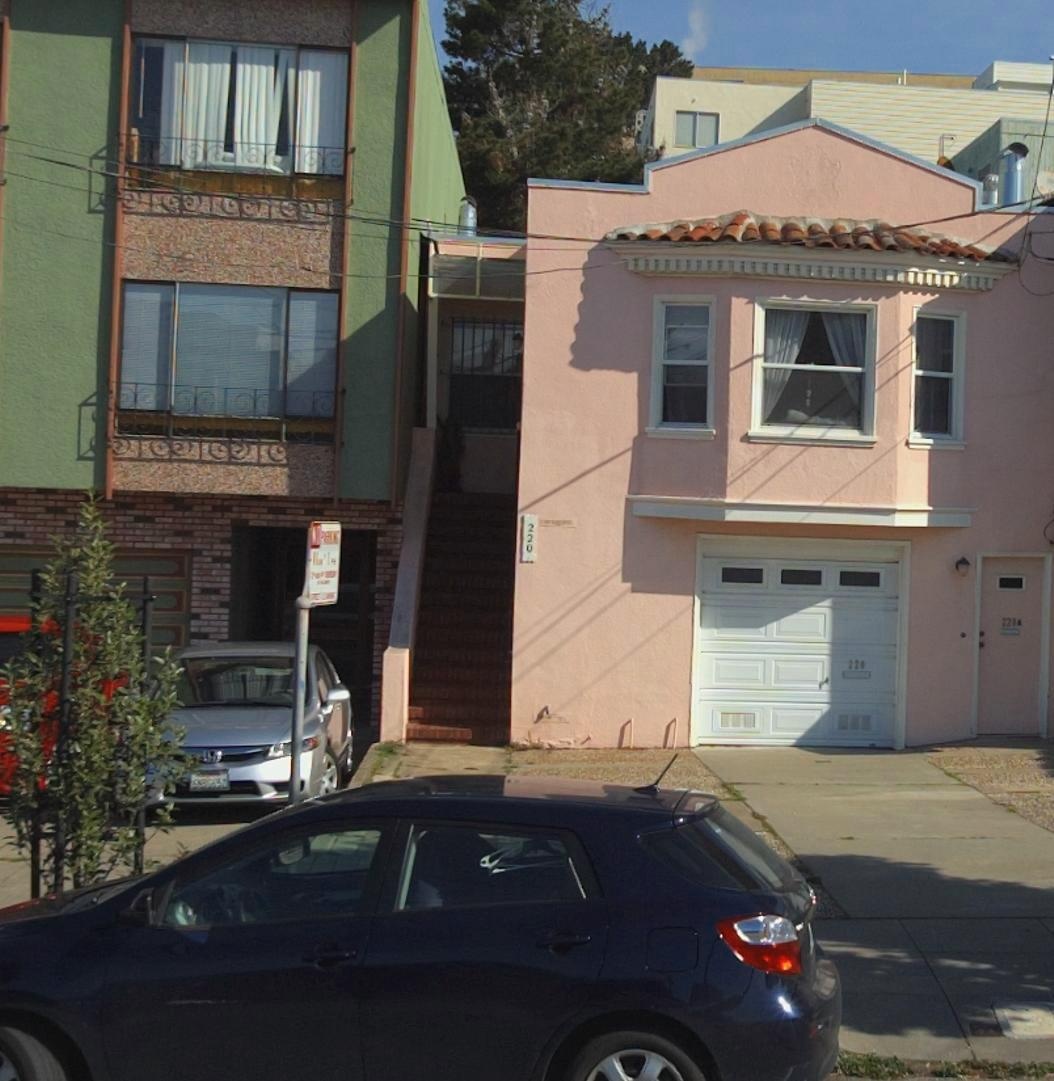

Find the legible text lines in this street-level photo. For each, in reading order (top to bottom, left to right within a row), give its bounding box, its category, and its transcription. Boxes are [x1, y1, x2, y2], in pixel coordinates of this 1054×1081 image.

[523, 520, 536, 556] StreetNumber: 220
[999, 616, 1024, 628] StreetNumber: 220A
[845, 657, 866, 672] StreetNumber: 220